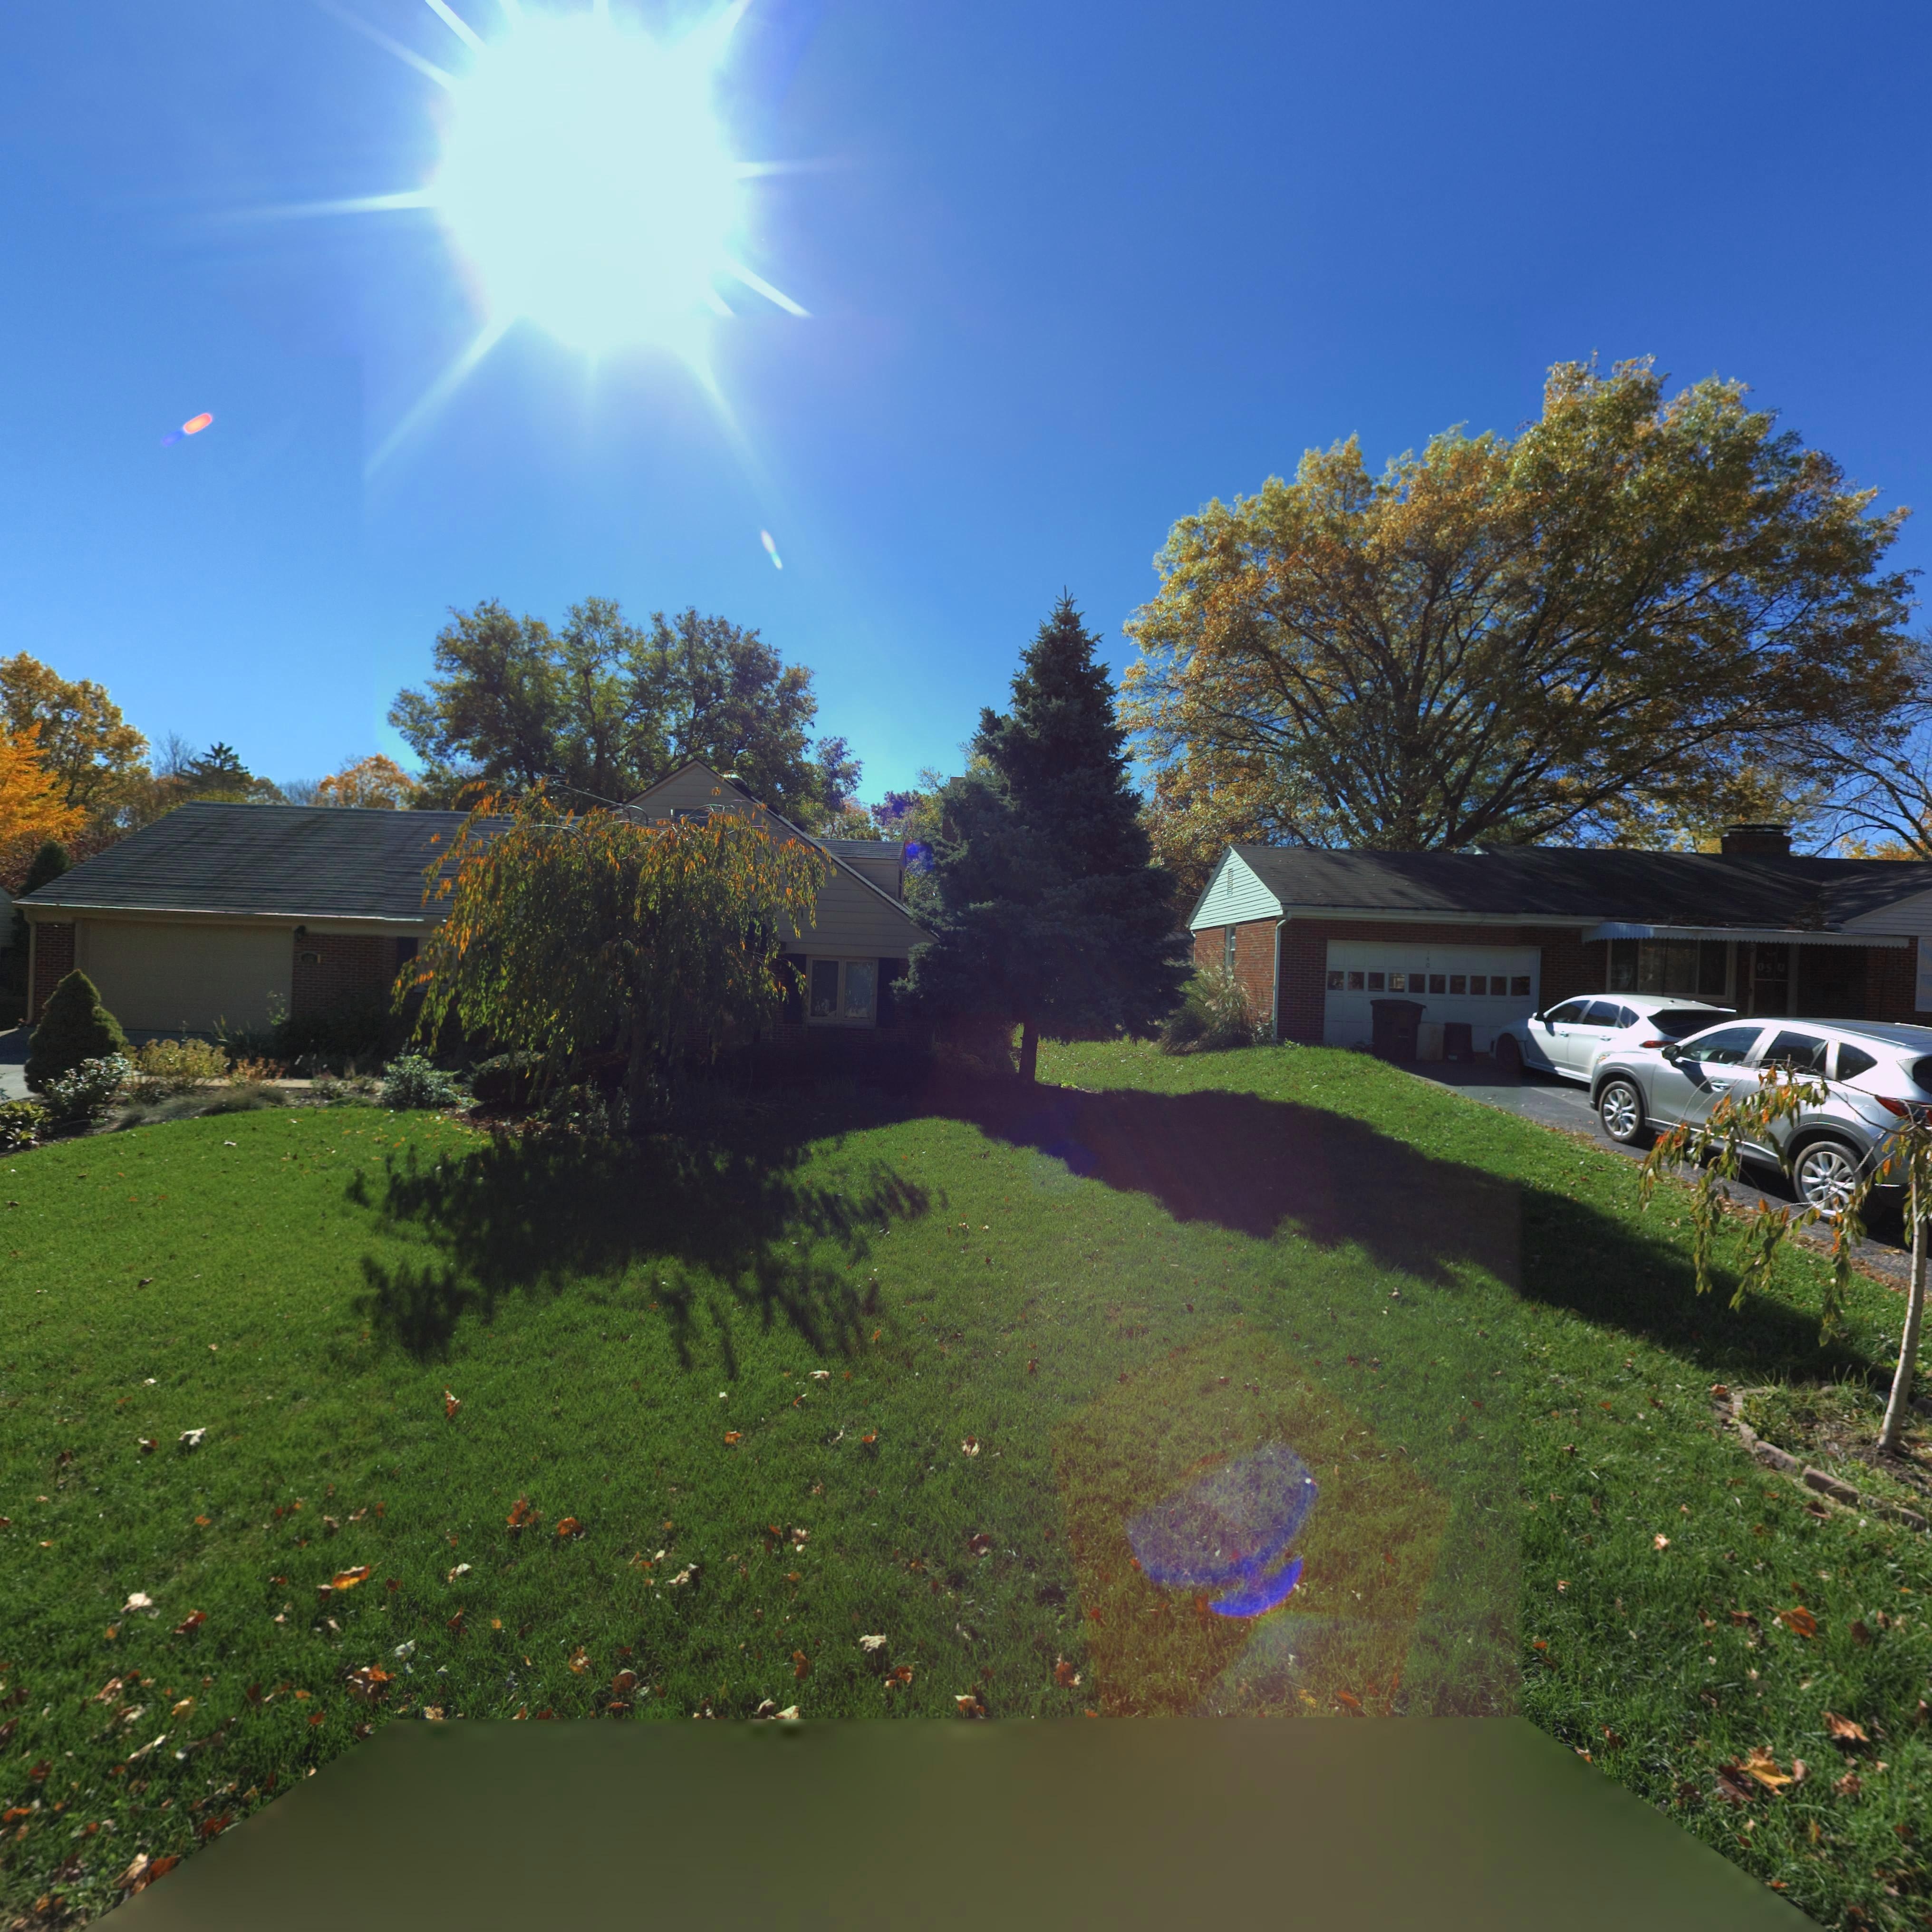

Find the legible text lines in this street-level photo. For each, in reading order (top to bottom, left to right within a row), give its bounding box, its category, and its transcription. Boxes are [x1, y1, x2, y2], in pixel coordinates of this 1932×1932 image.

[1425, 948, 1431, 969] StreetNumber: 140